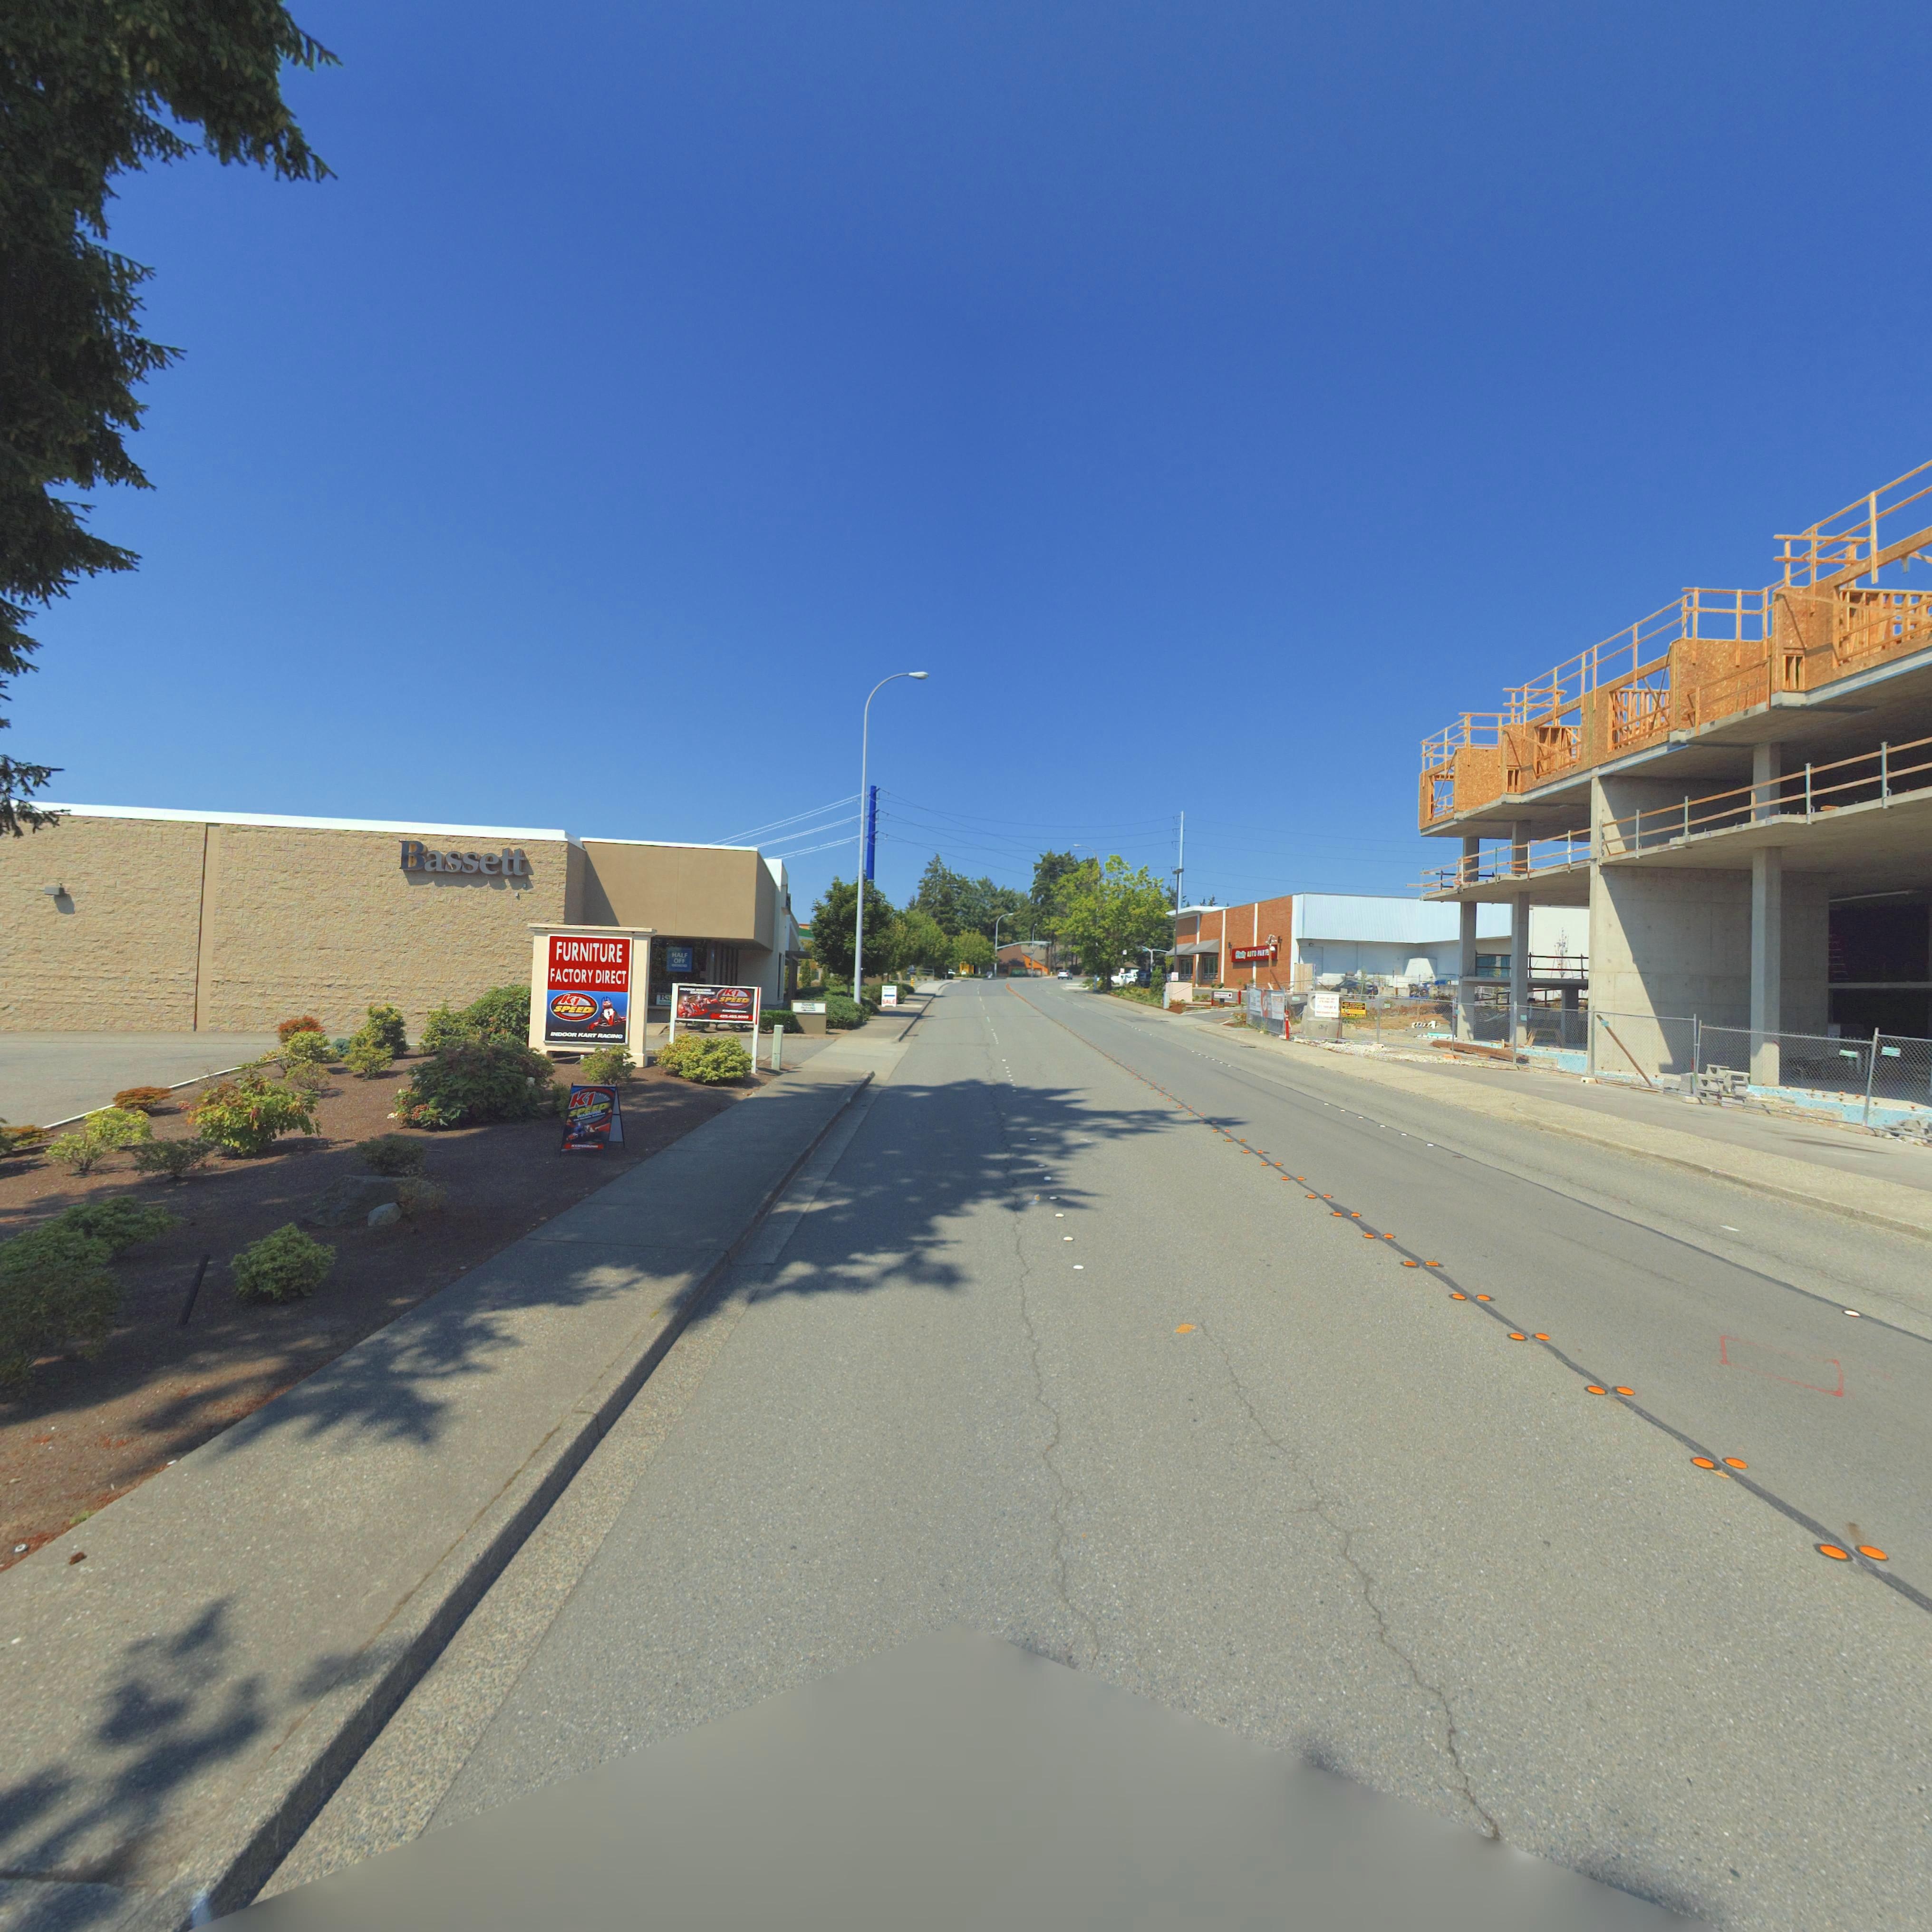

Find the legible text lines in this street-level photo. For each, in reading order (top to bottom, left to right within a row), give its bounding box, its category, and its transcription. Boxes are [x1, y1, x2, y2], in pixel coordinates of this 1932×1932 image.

[398, 839, 528, 877] BusinessName: Bassett
[555, 941, 622, 963] BusinessName: FURNITURE
[550, 967, 627, 984] BusinessName: FACTORY DIRECT
[560, 994, 581, 1005] BusinessName: K1
[724, 988, 740, 996] BusinessName: K1
[718, 996, 749, 1002] BusinessName: SPEED
[552, 1005, 594, 1013] BusinessName: SPEED
[568, 1091, 596, 1108] BusinessName: K1
[569, 1102, 608, 1117] BusinessName: SPEED